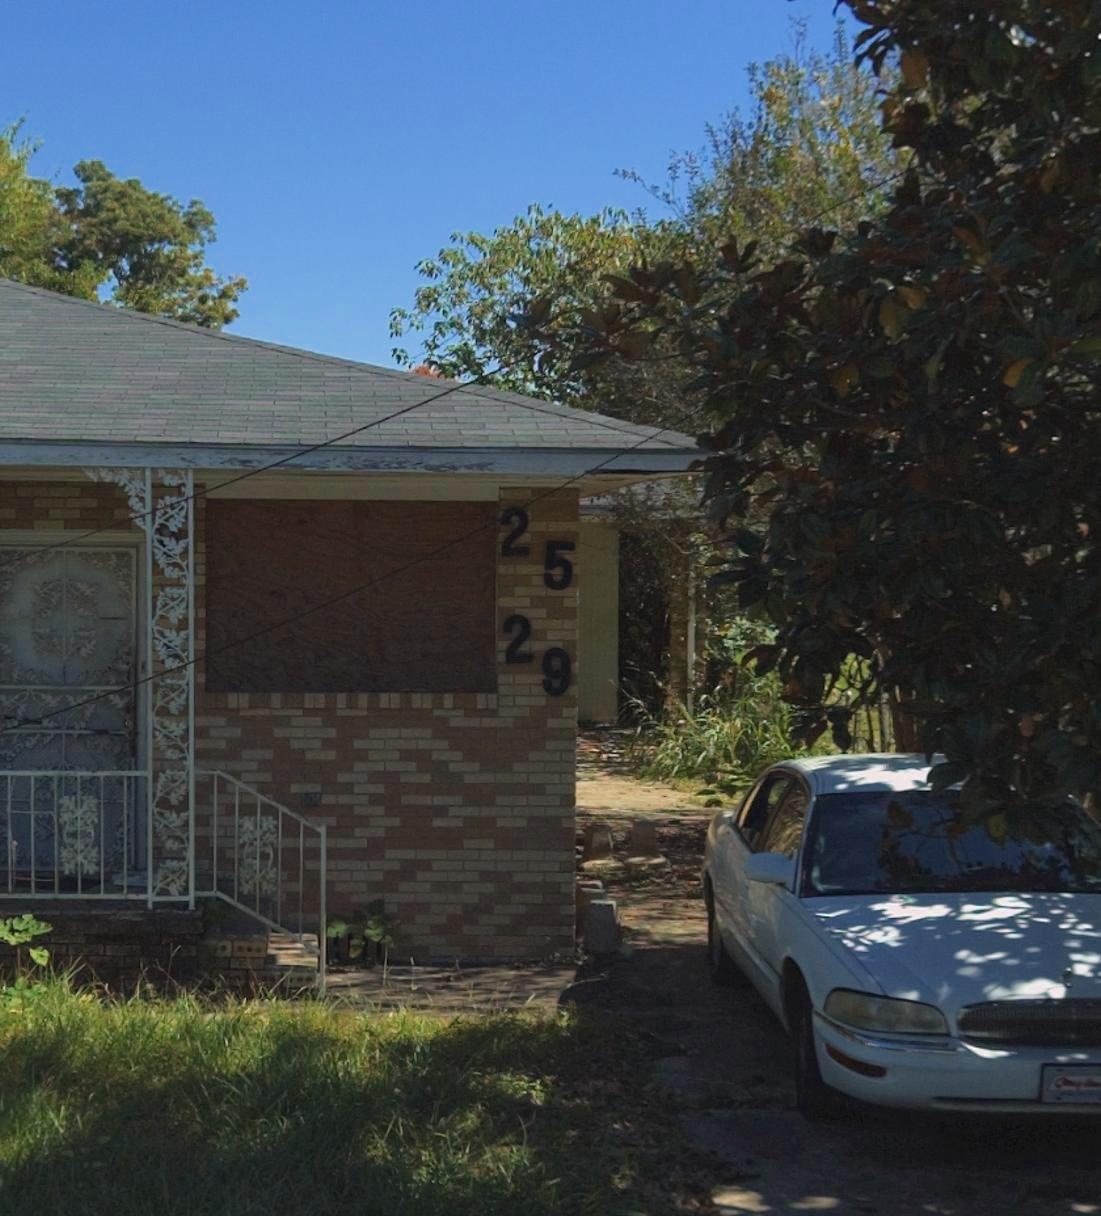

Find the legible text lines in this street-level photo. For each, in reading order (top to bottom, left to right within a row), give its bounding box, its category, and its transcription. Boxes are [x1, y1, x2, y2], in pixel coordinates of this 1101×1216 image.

[499, 504, 579, 593] StreetNumber: 25
[500, 612, 573, 700] StreetNumber: 29